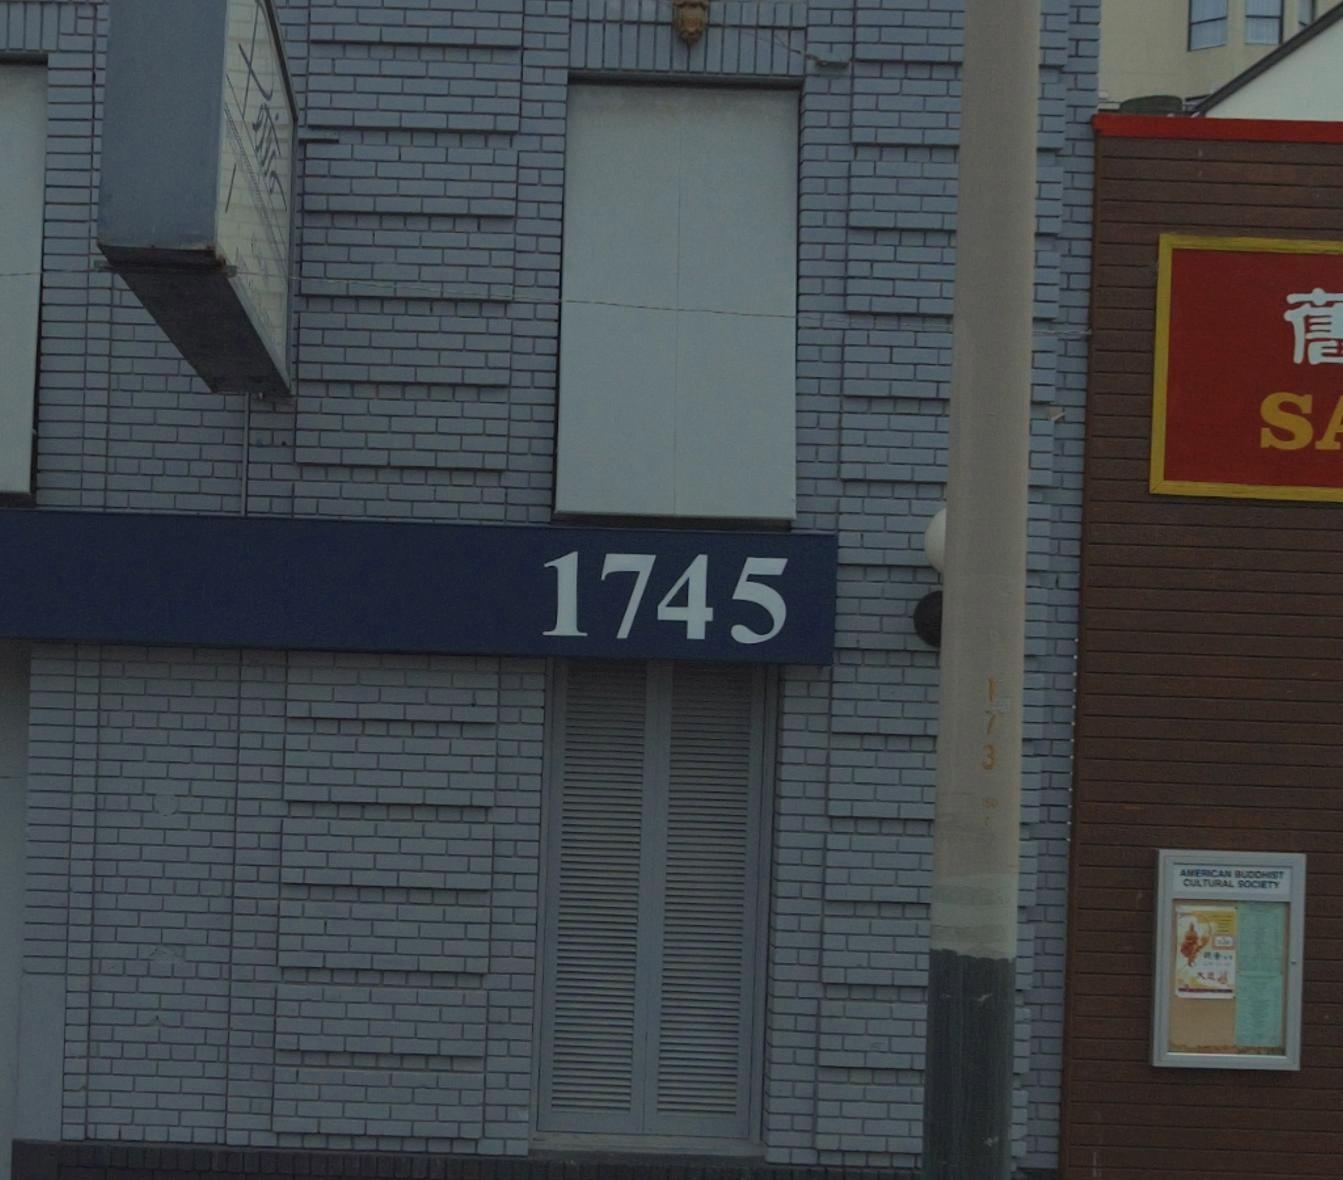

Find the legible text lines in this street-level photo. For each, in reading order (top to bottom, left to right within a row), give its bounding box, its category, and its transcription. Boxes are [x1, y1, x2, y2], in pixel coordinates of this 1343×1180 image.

[234, 1, 286, 168] None: Pe
[1255, 386, 1320, 457] BusinessName: S
[537, 545, 798, 652] StreetNumber: 1745
[979, 675, 998, 774] None: 173
[1180, 876, 1281, 890] None: CULTURAL SOC**TY
[1176, 866, 1288, 881] None: AMERICAN BUDDH**T